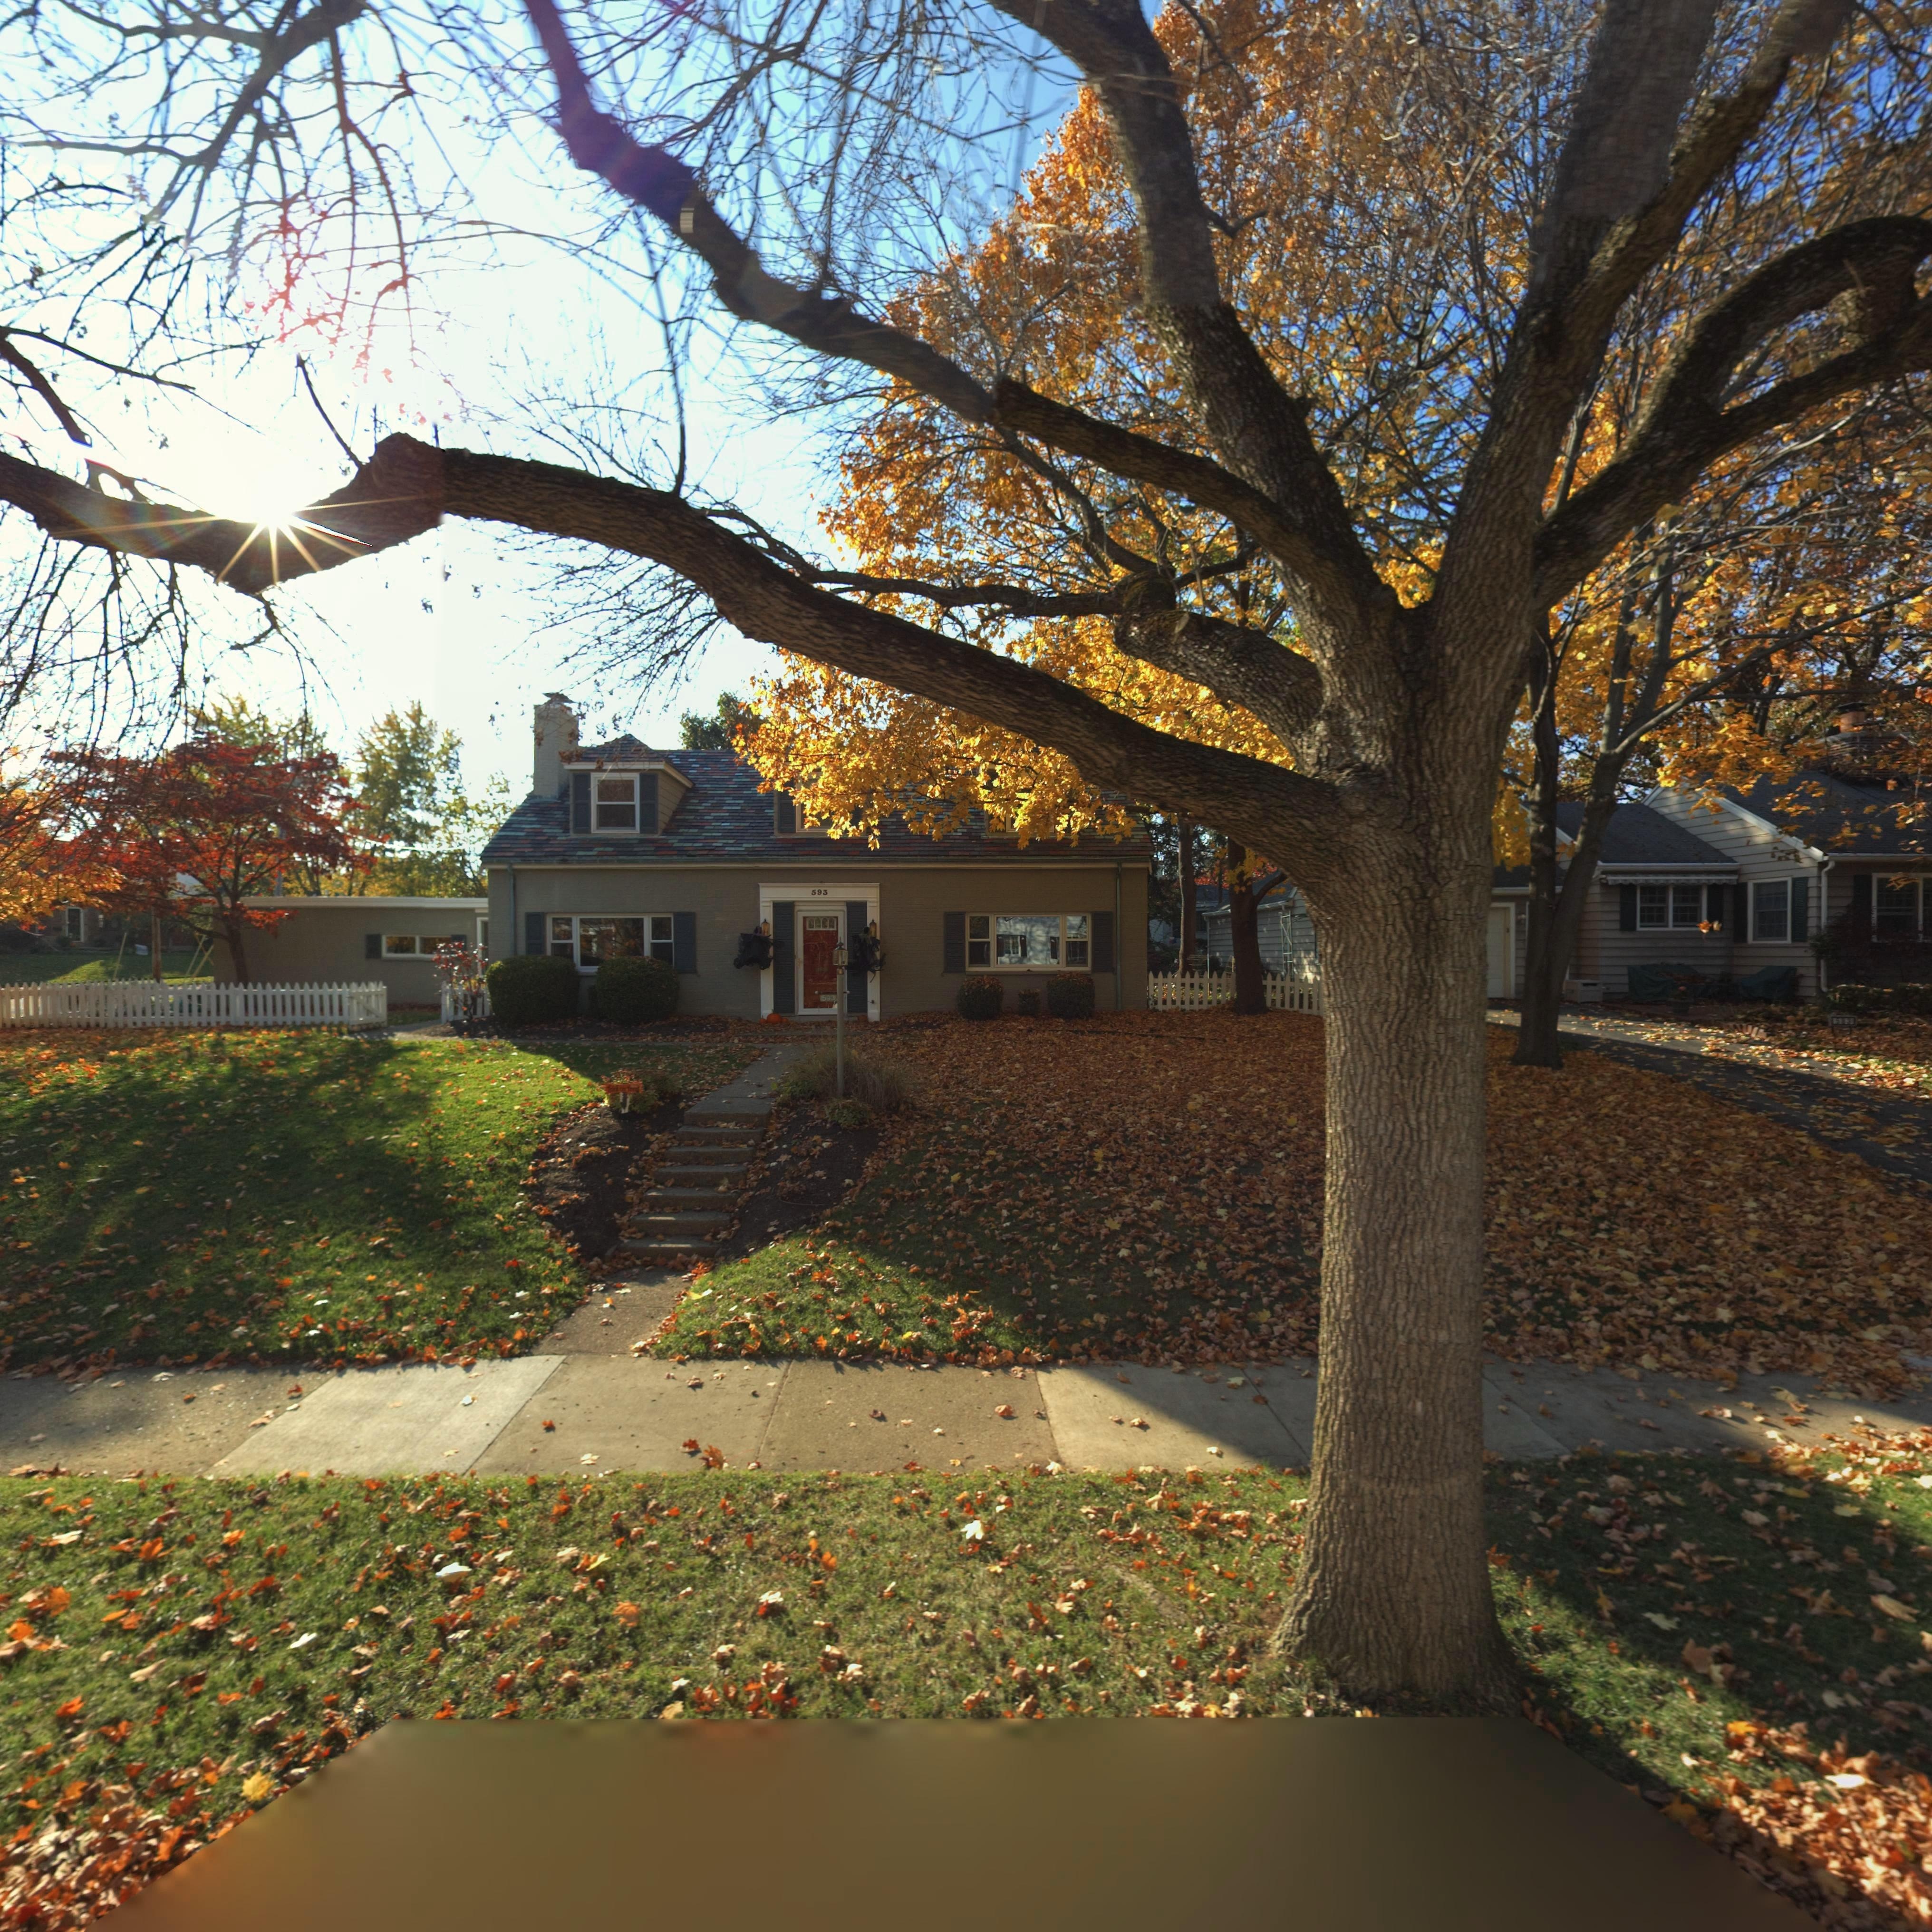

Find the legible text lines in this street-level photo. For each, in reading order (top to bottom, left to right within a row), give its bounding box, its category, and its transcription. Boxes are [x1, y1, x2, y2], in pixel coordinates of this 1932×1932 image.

[811, 889, 828, 896] StreetNumber: 593